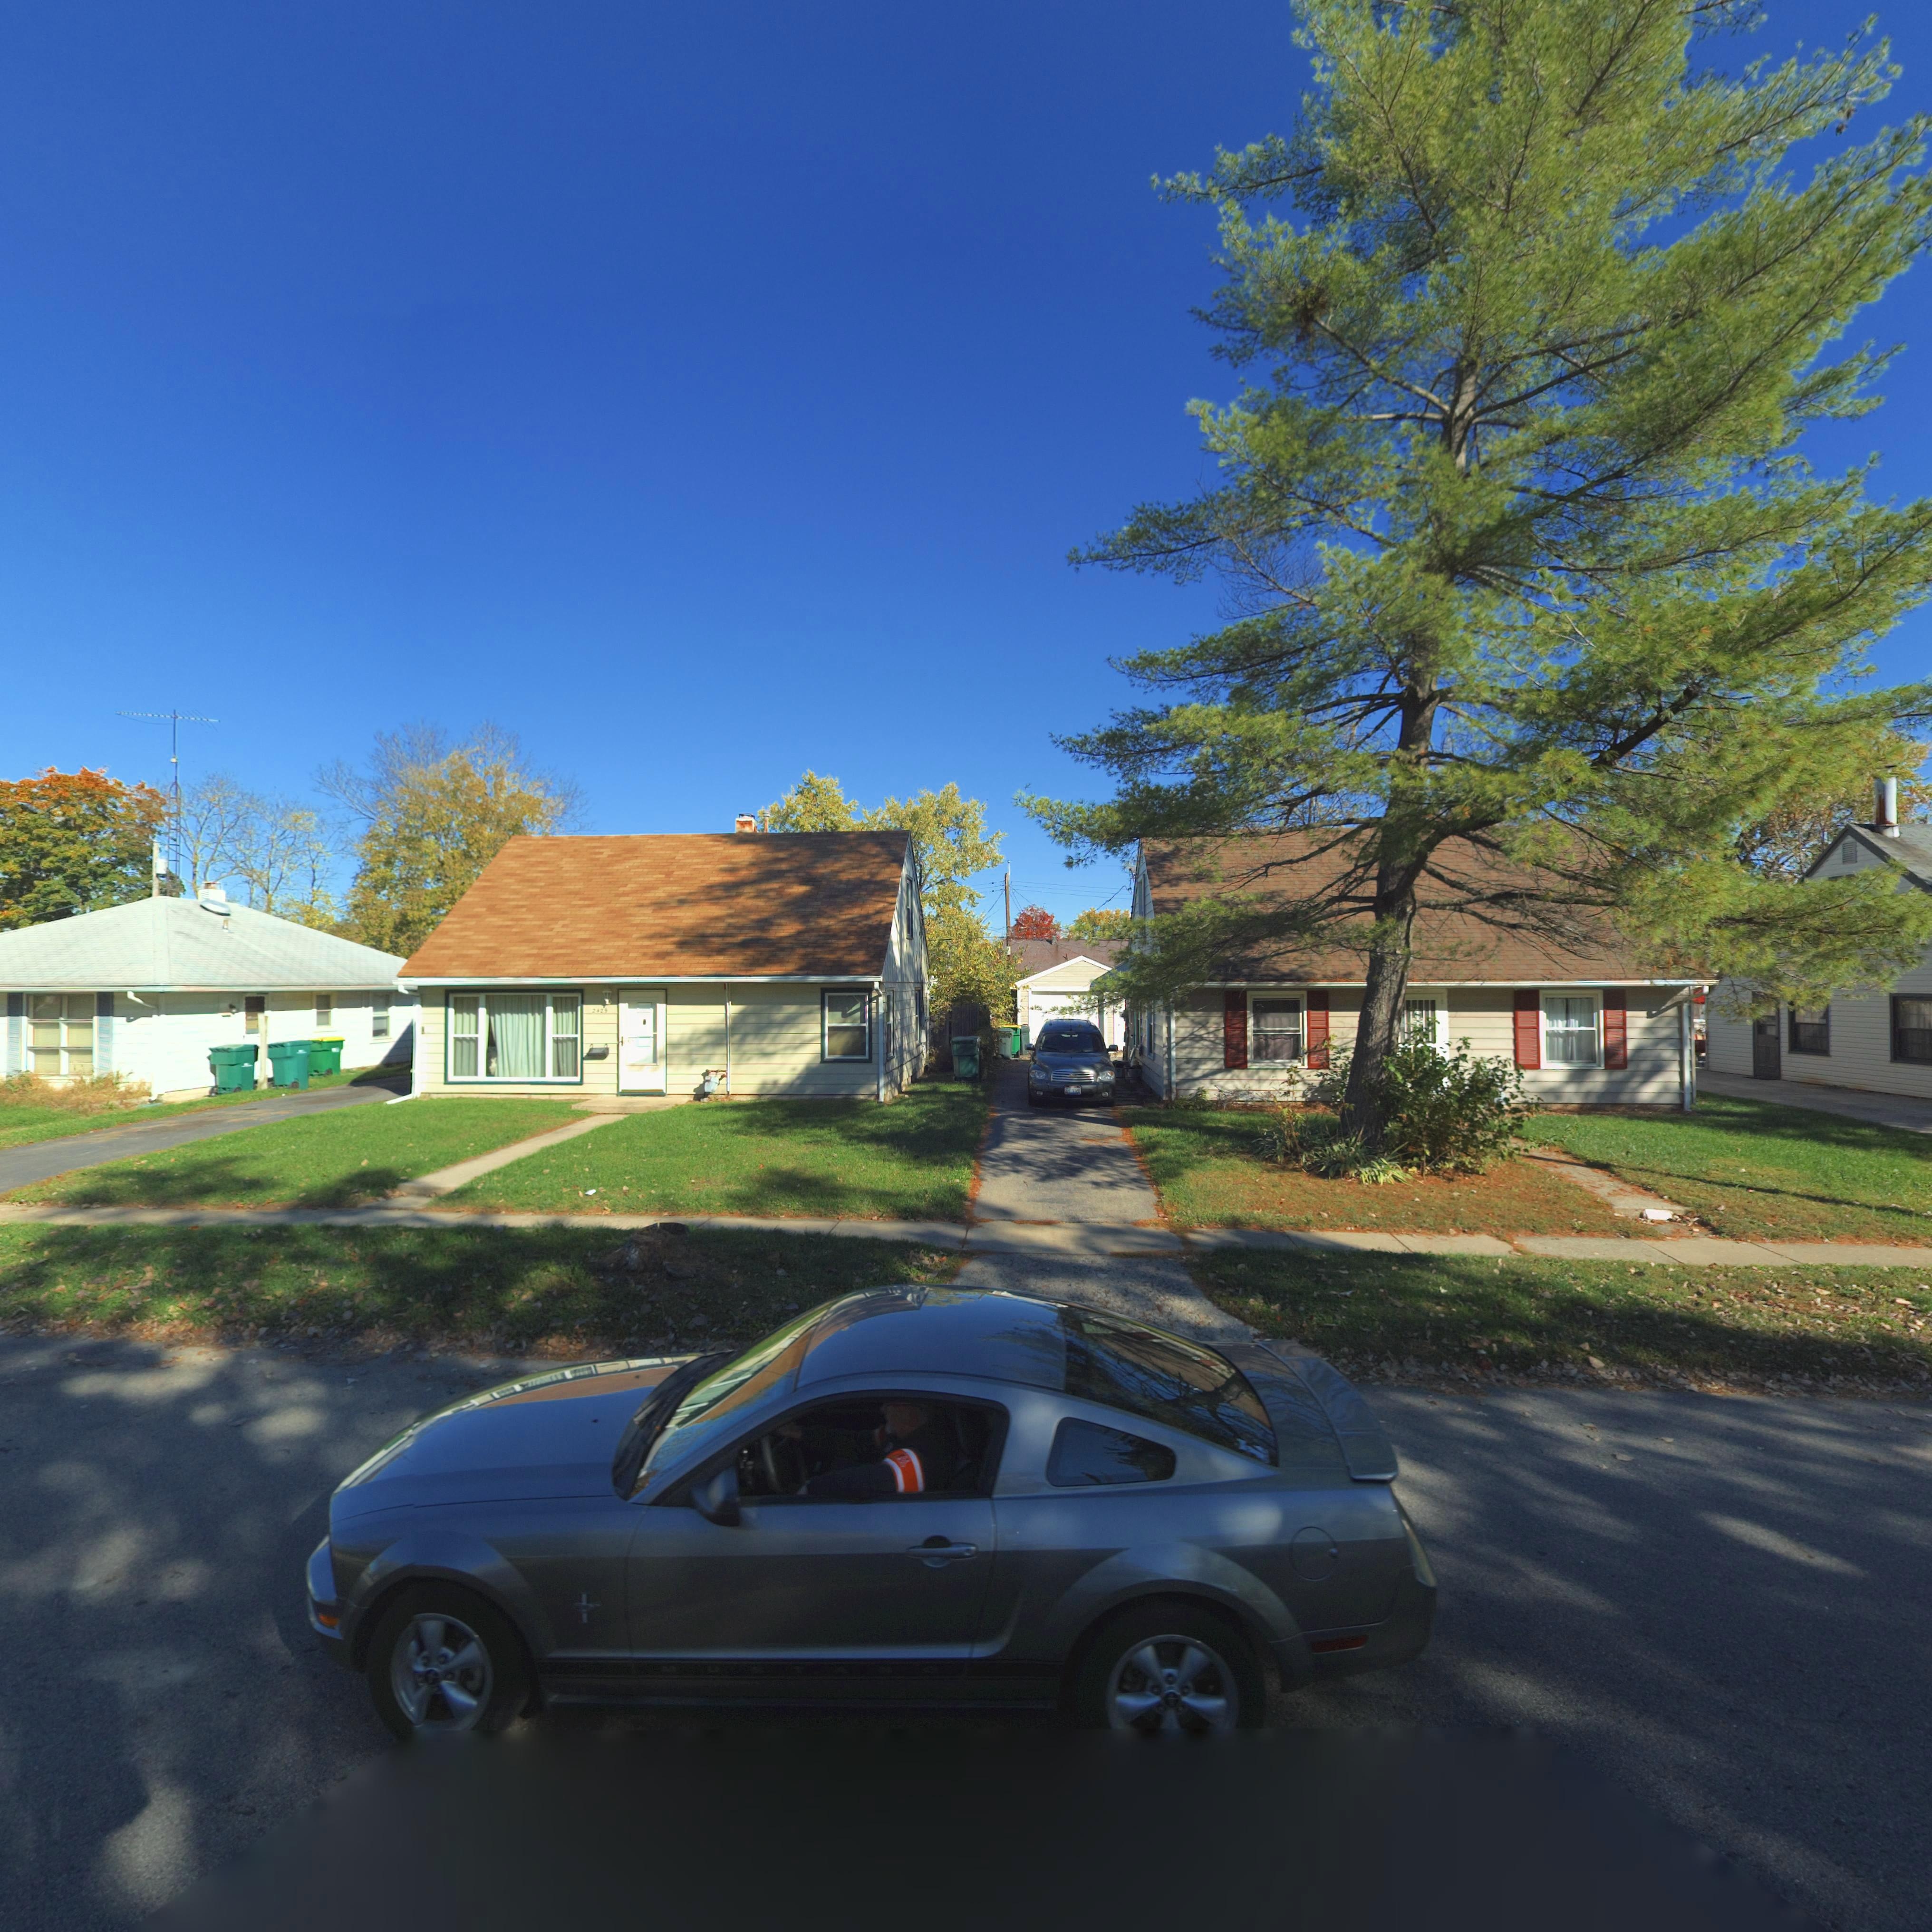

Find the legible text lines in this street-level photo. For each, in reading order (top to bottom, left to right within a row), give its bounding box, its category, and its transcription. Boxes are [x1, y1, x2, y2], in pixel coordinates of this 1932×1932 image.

[592, 1007, 608, 1014] StreetNumber: 2429